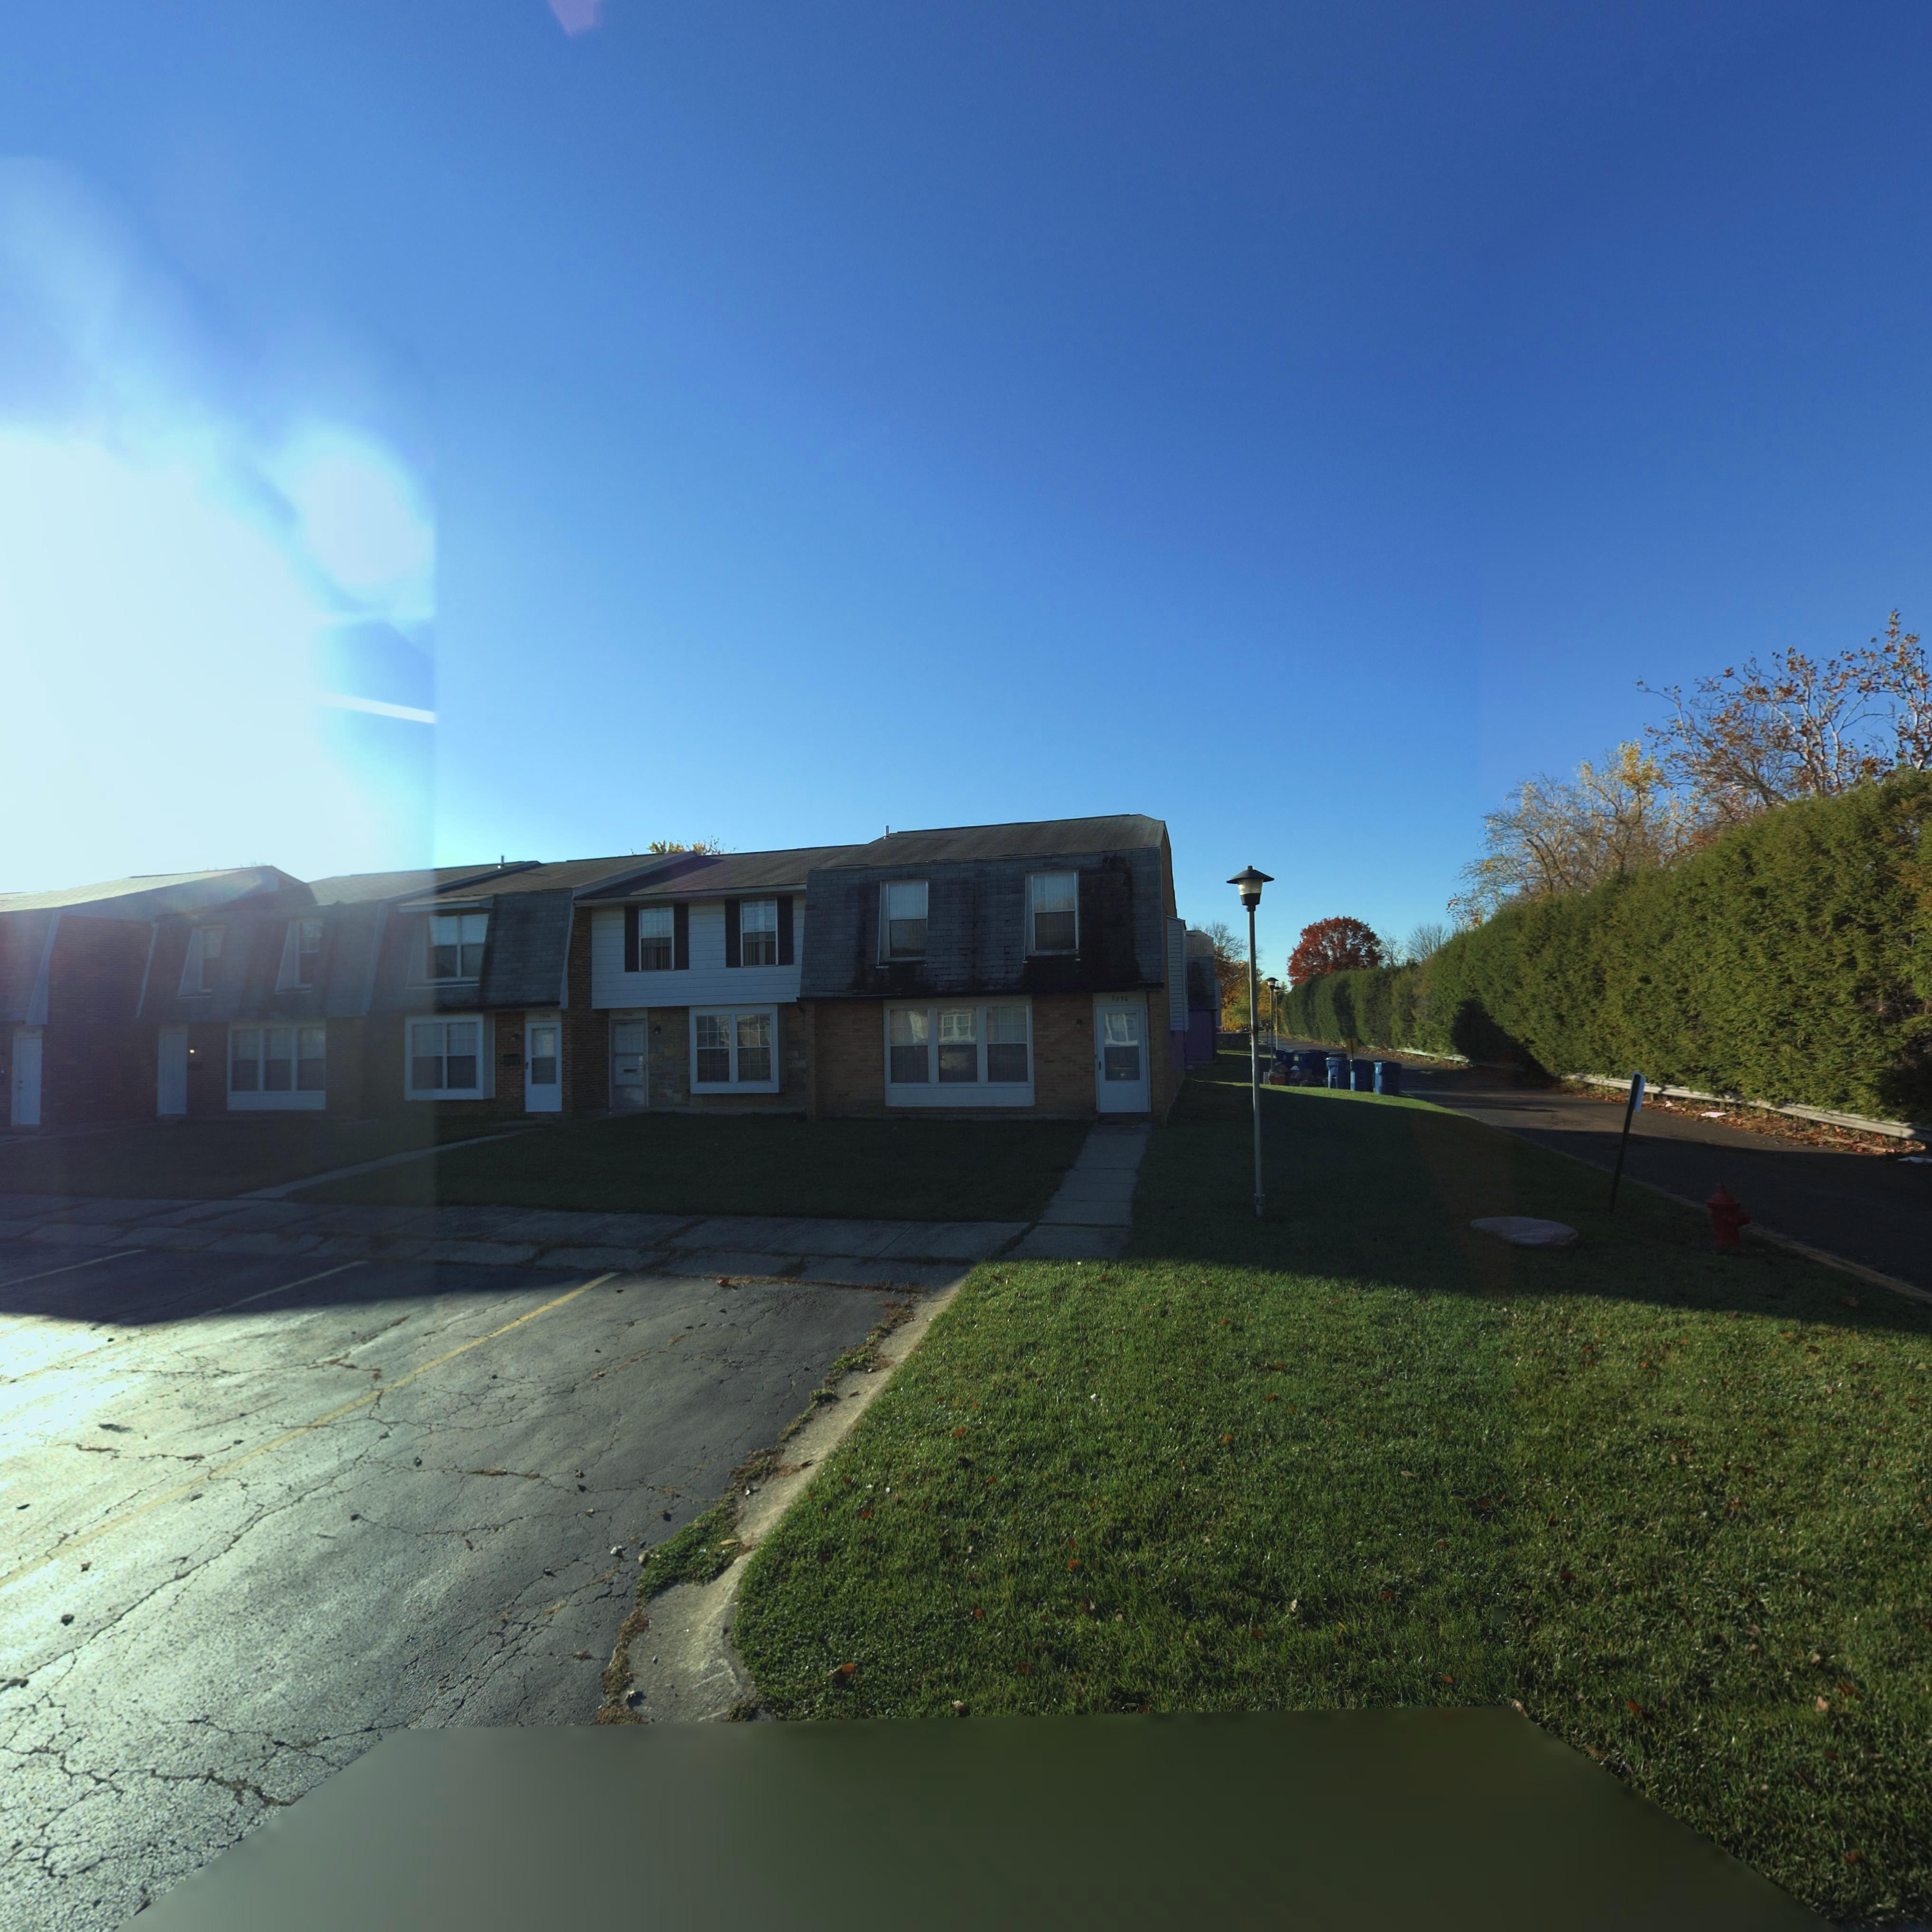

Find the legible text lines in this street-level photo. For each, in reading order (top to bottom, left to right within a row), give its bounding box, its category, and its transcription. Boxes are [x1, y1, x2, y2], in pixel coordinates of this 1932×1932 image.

[1111, 995, 1130, 1002] StreetNumber: 7570